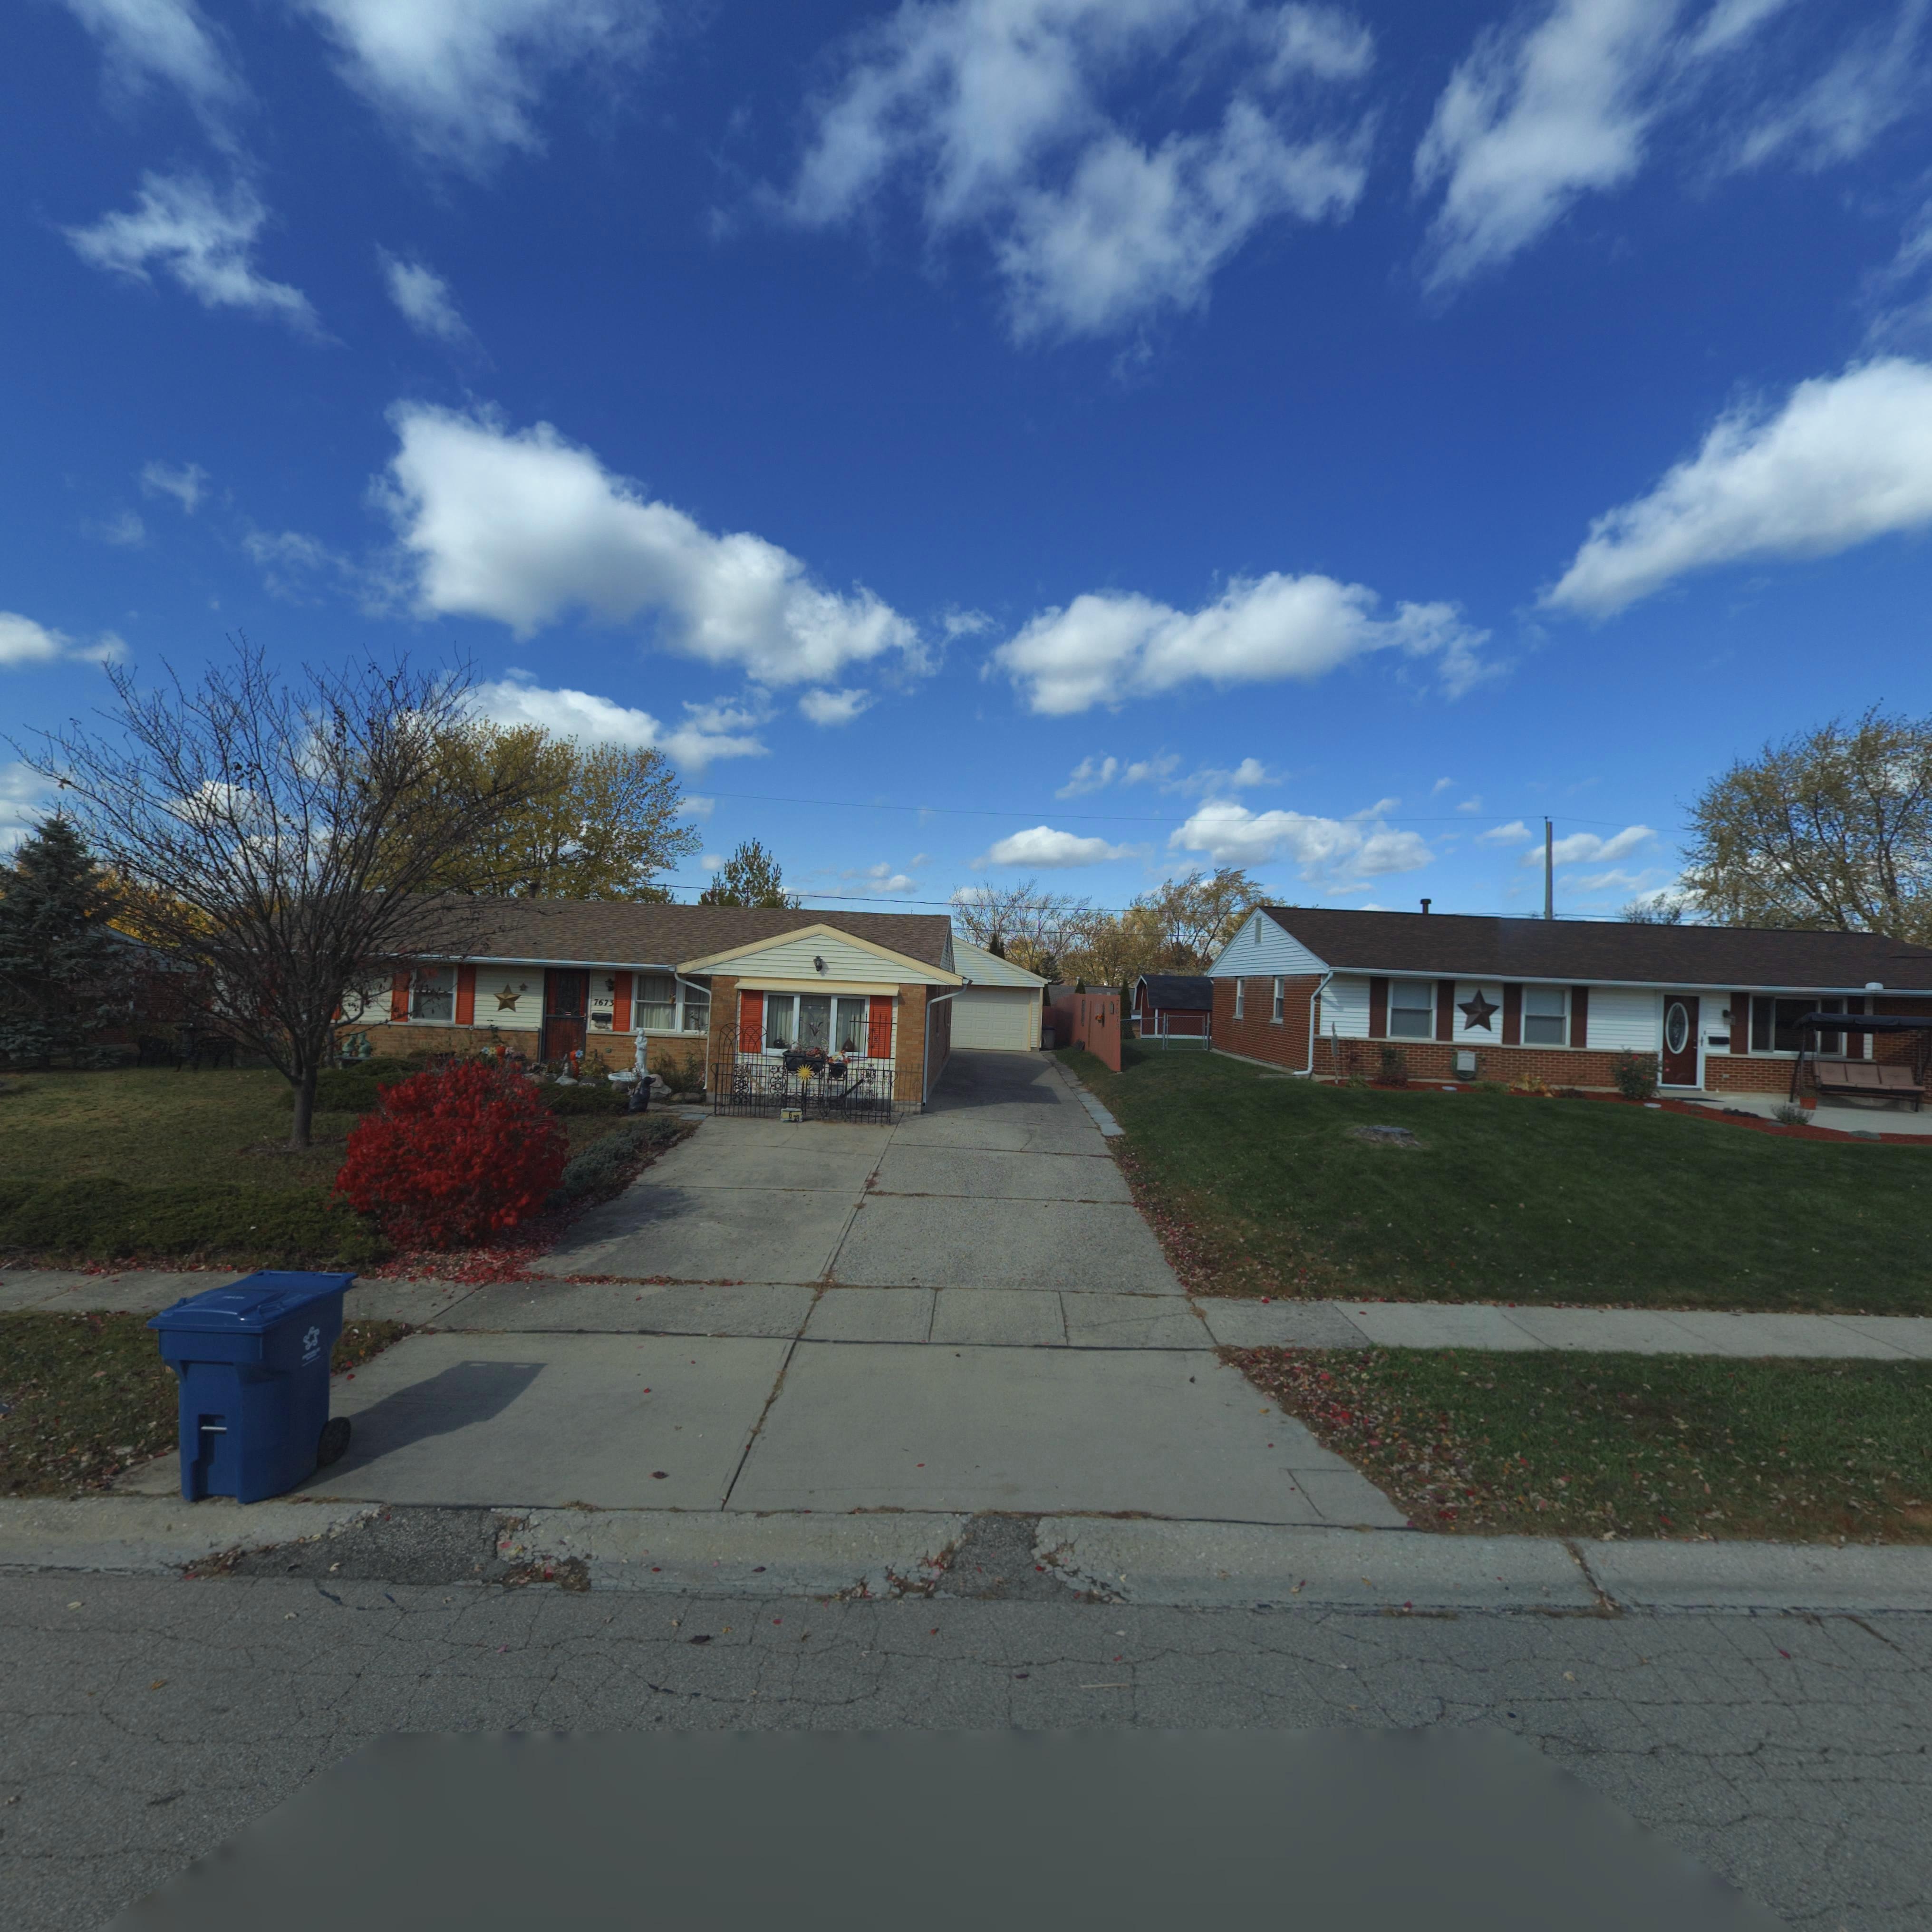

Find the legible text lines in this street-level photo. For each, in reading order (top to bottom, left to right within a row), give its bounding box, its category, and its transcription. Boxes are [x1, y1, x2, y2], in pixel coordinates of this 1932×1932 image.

[593, 998, 615, 1007] StreetNumber: 7673
[789, 1111, 800, 1123] StreetNumber: 673